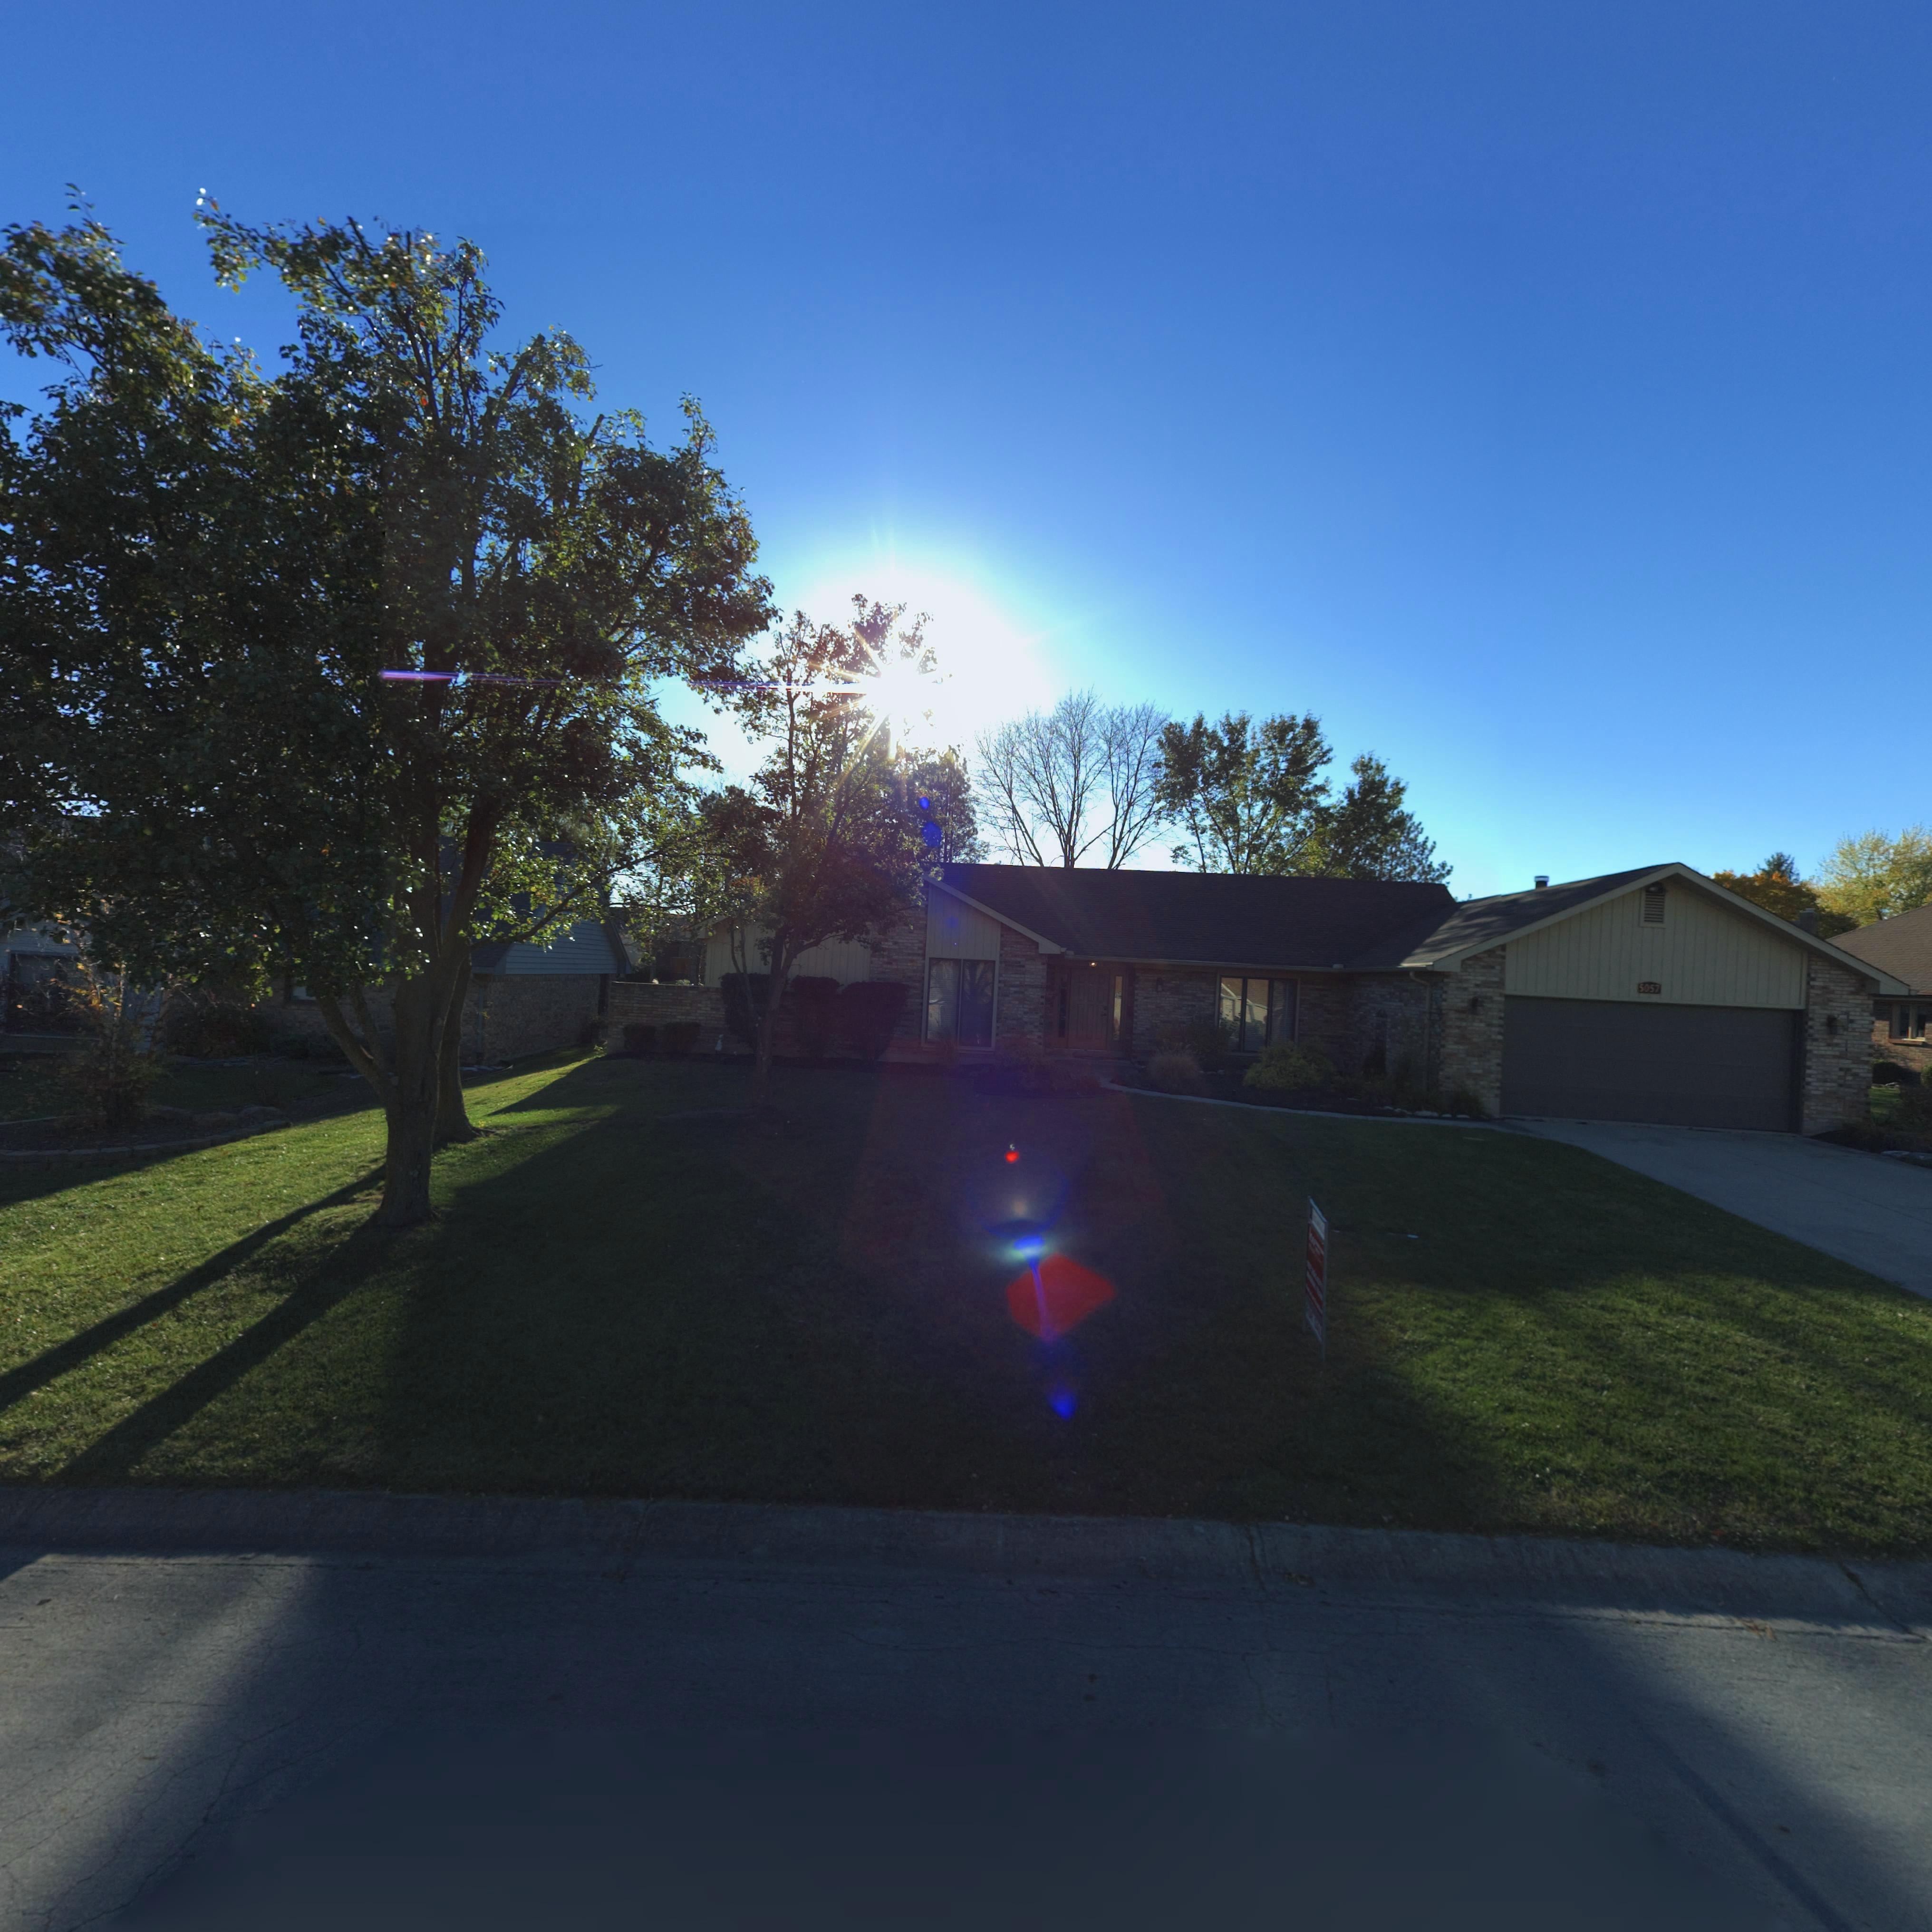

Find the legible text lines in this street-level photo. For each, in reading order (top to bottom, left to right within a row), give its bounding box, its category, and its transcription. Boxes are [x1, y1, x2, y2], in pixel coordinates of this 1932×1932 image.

[1638, 983, 1661, 994] StreetNumber: 5057